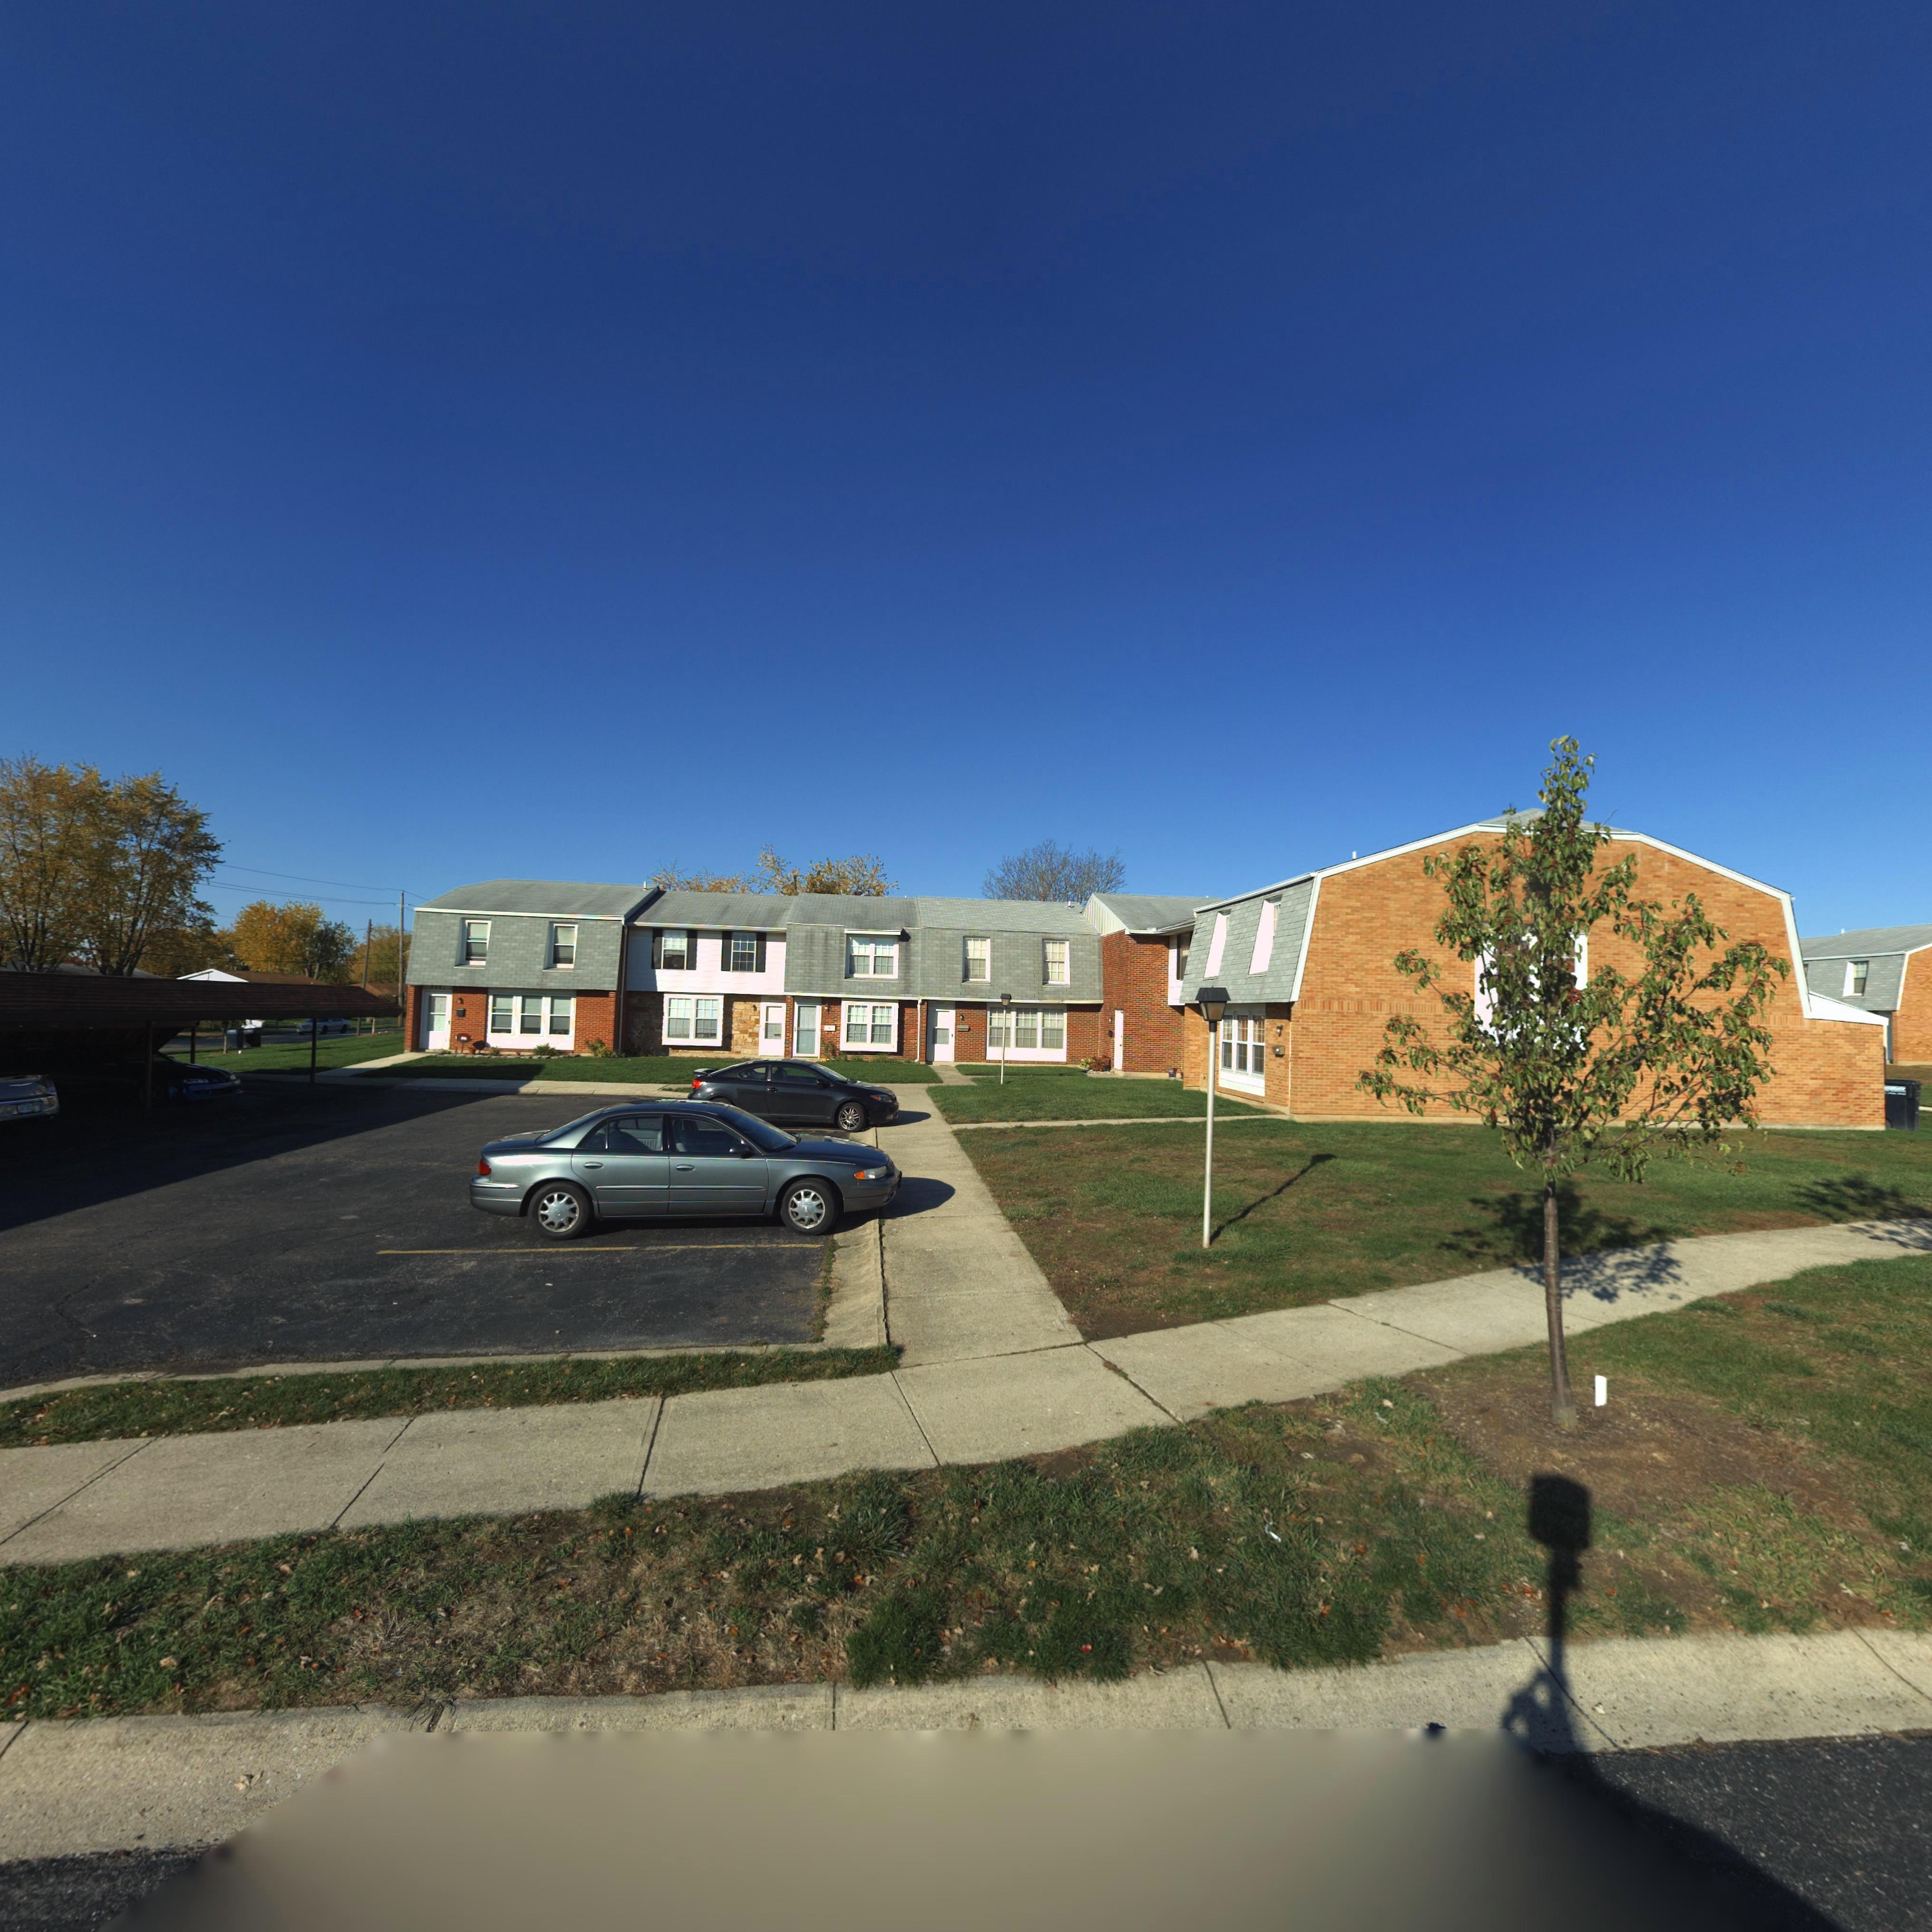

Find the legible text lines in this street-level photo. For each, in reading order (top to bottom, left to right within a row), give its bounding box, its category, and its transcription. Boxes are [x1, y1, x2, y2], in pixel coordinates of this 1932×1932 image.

[431, 985, 445, 990] StreetNumber: 7501
[776, 995, 779, 1000] StreetNumber: 3
[802, 996, 811, 1000] StreetNumber: 7***
[940, 1001, 945, 1004] StreetNumber: 07